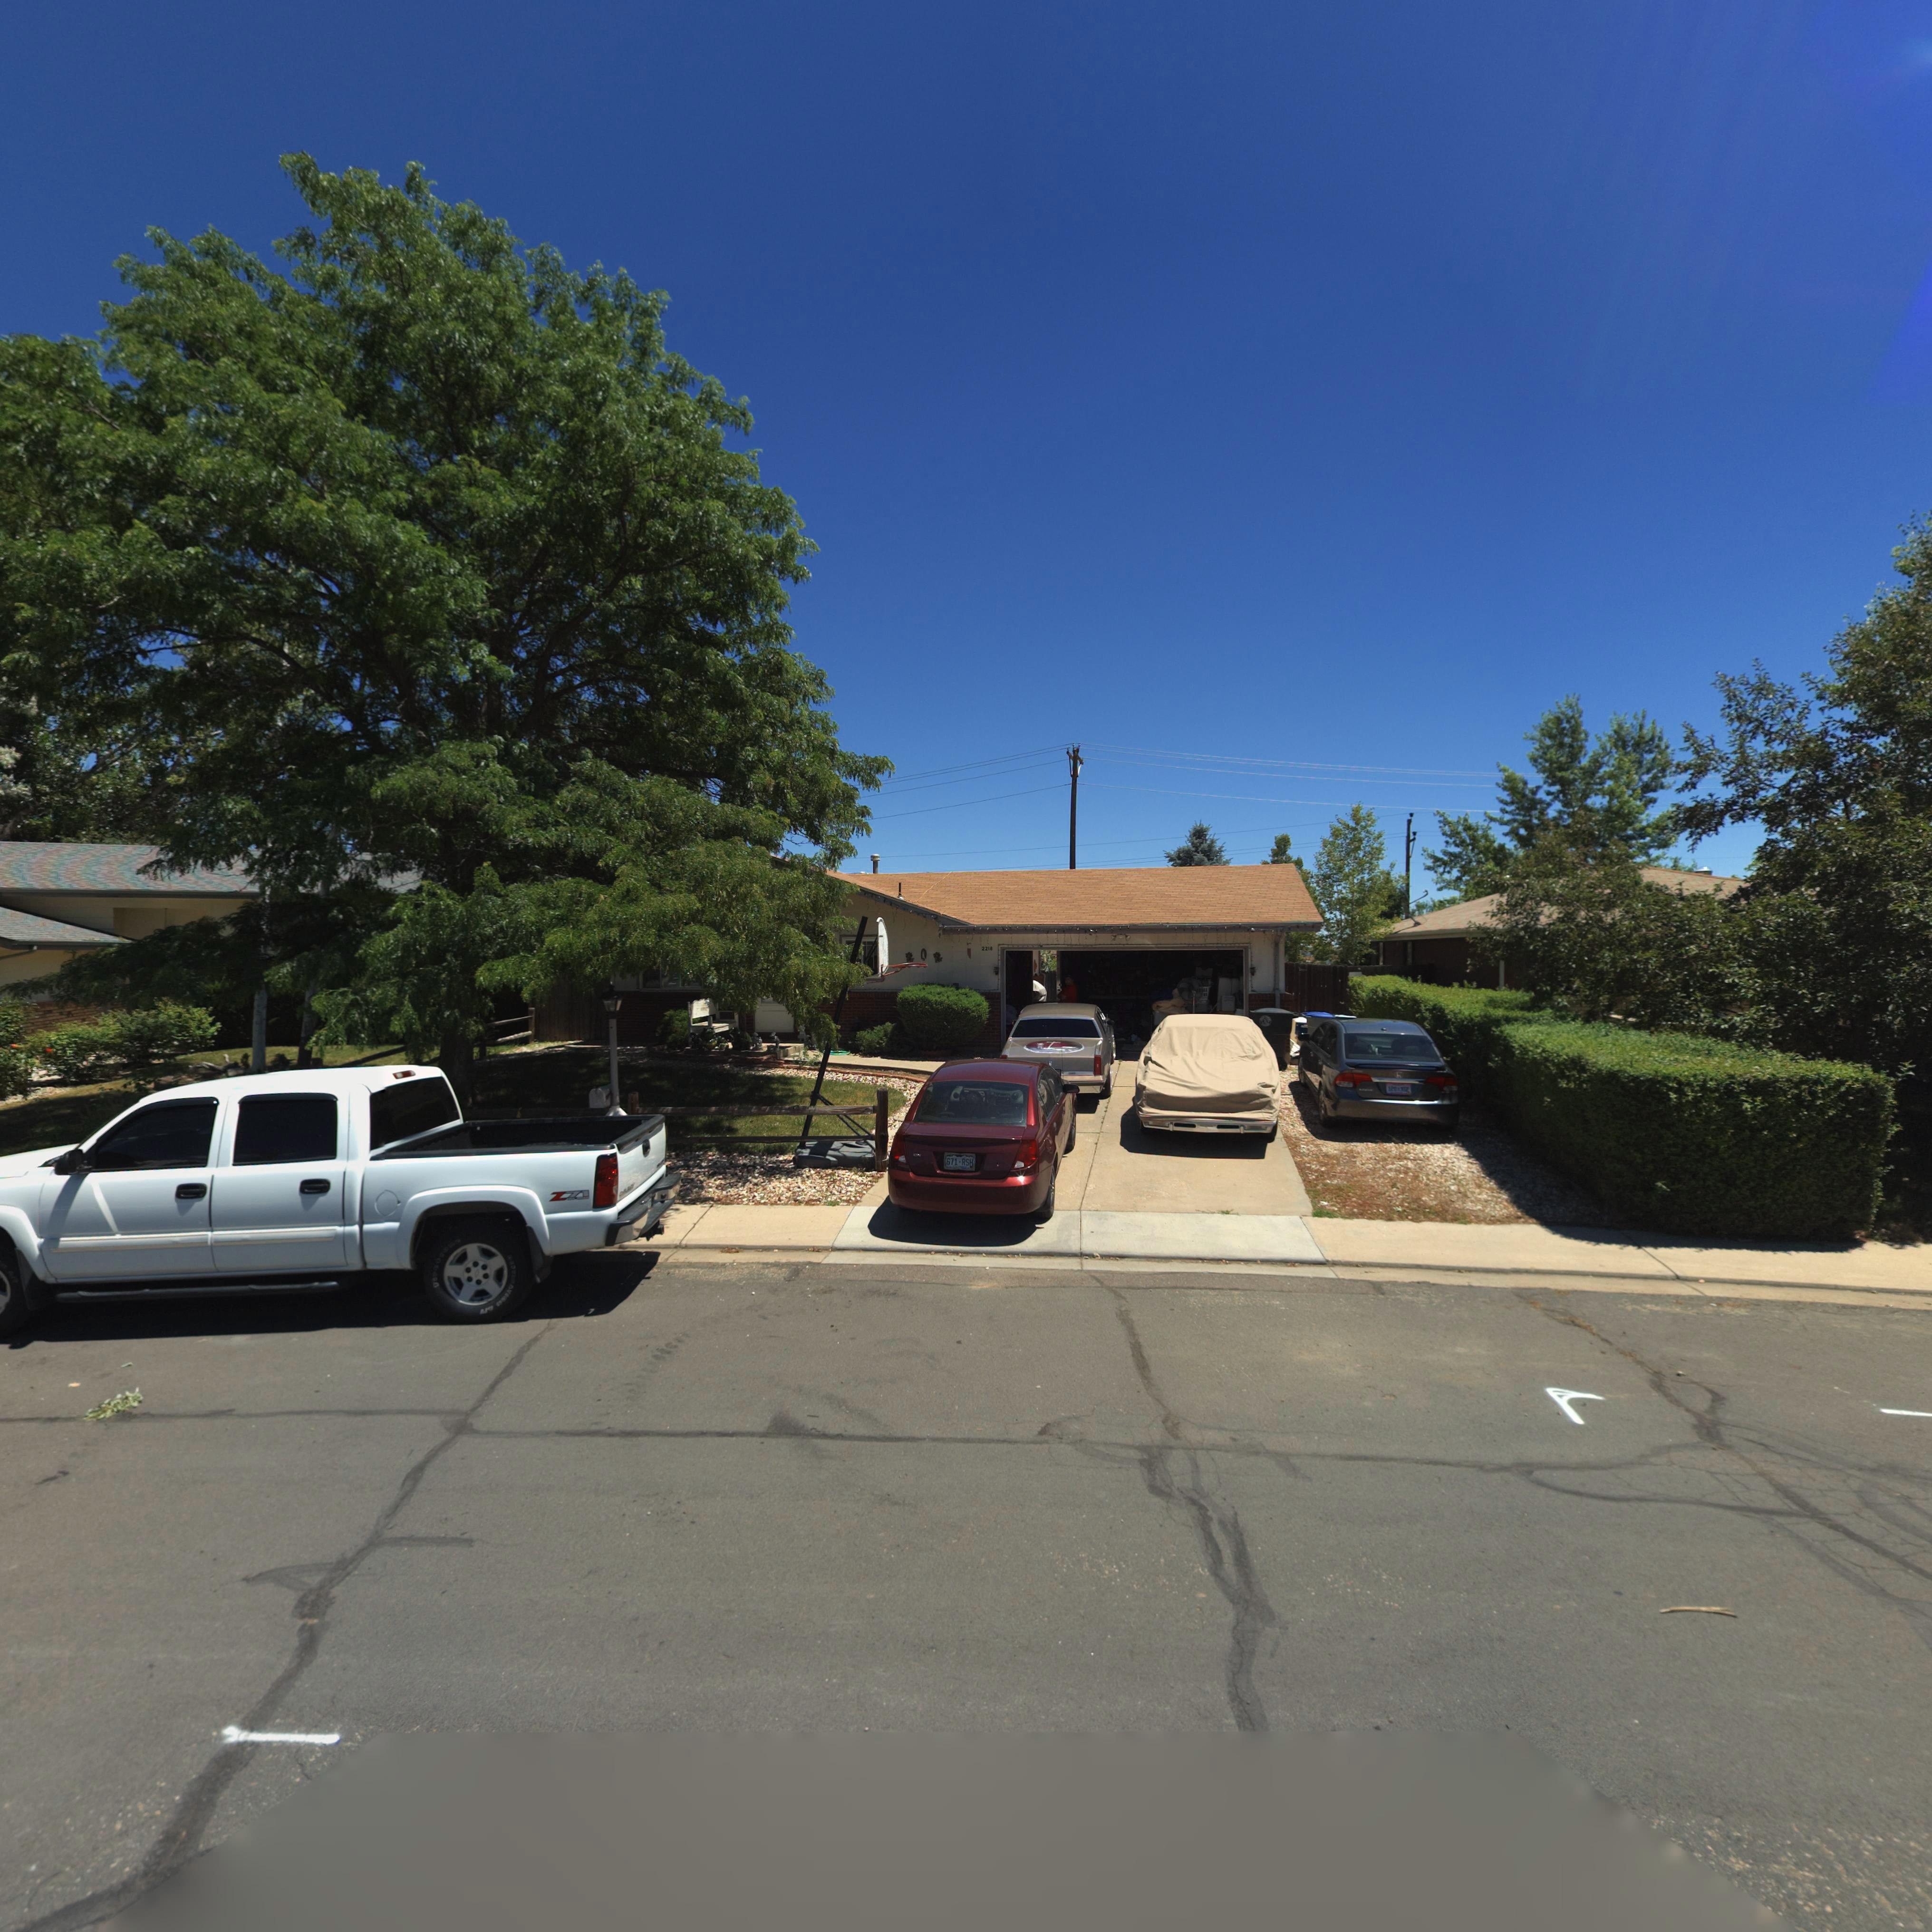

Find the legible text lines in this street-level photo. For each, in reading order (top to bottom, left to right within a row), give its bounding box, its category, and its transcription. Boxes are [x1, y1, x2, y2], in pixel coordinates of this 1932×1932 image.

[981, 946, 993, 950] StreetNumber: 2218